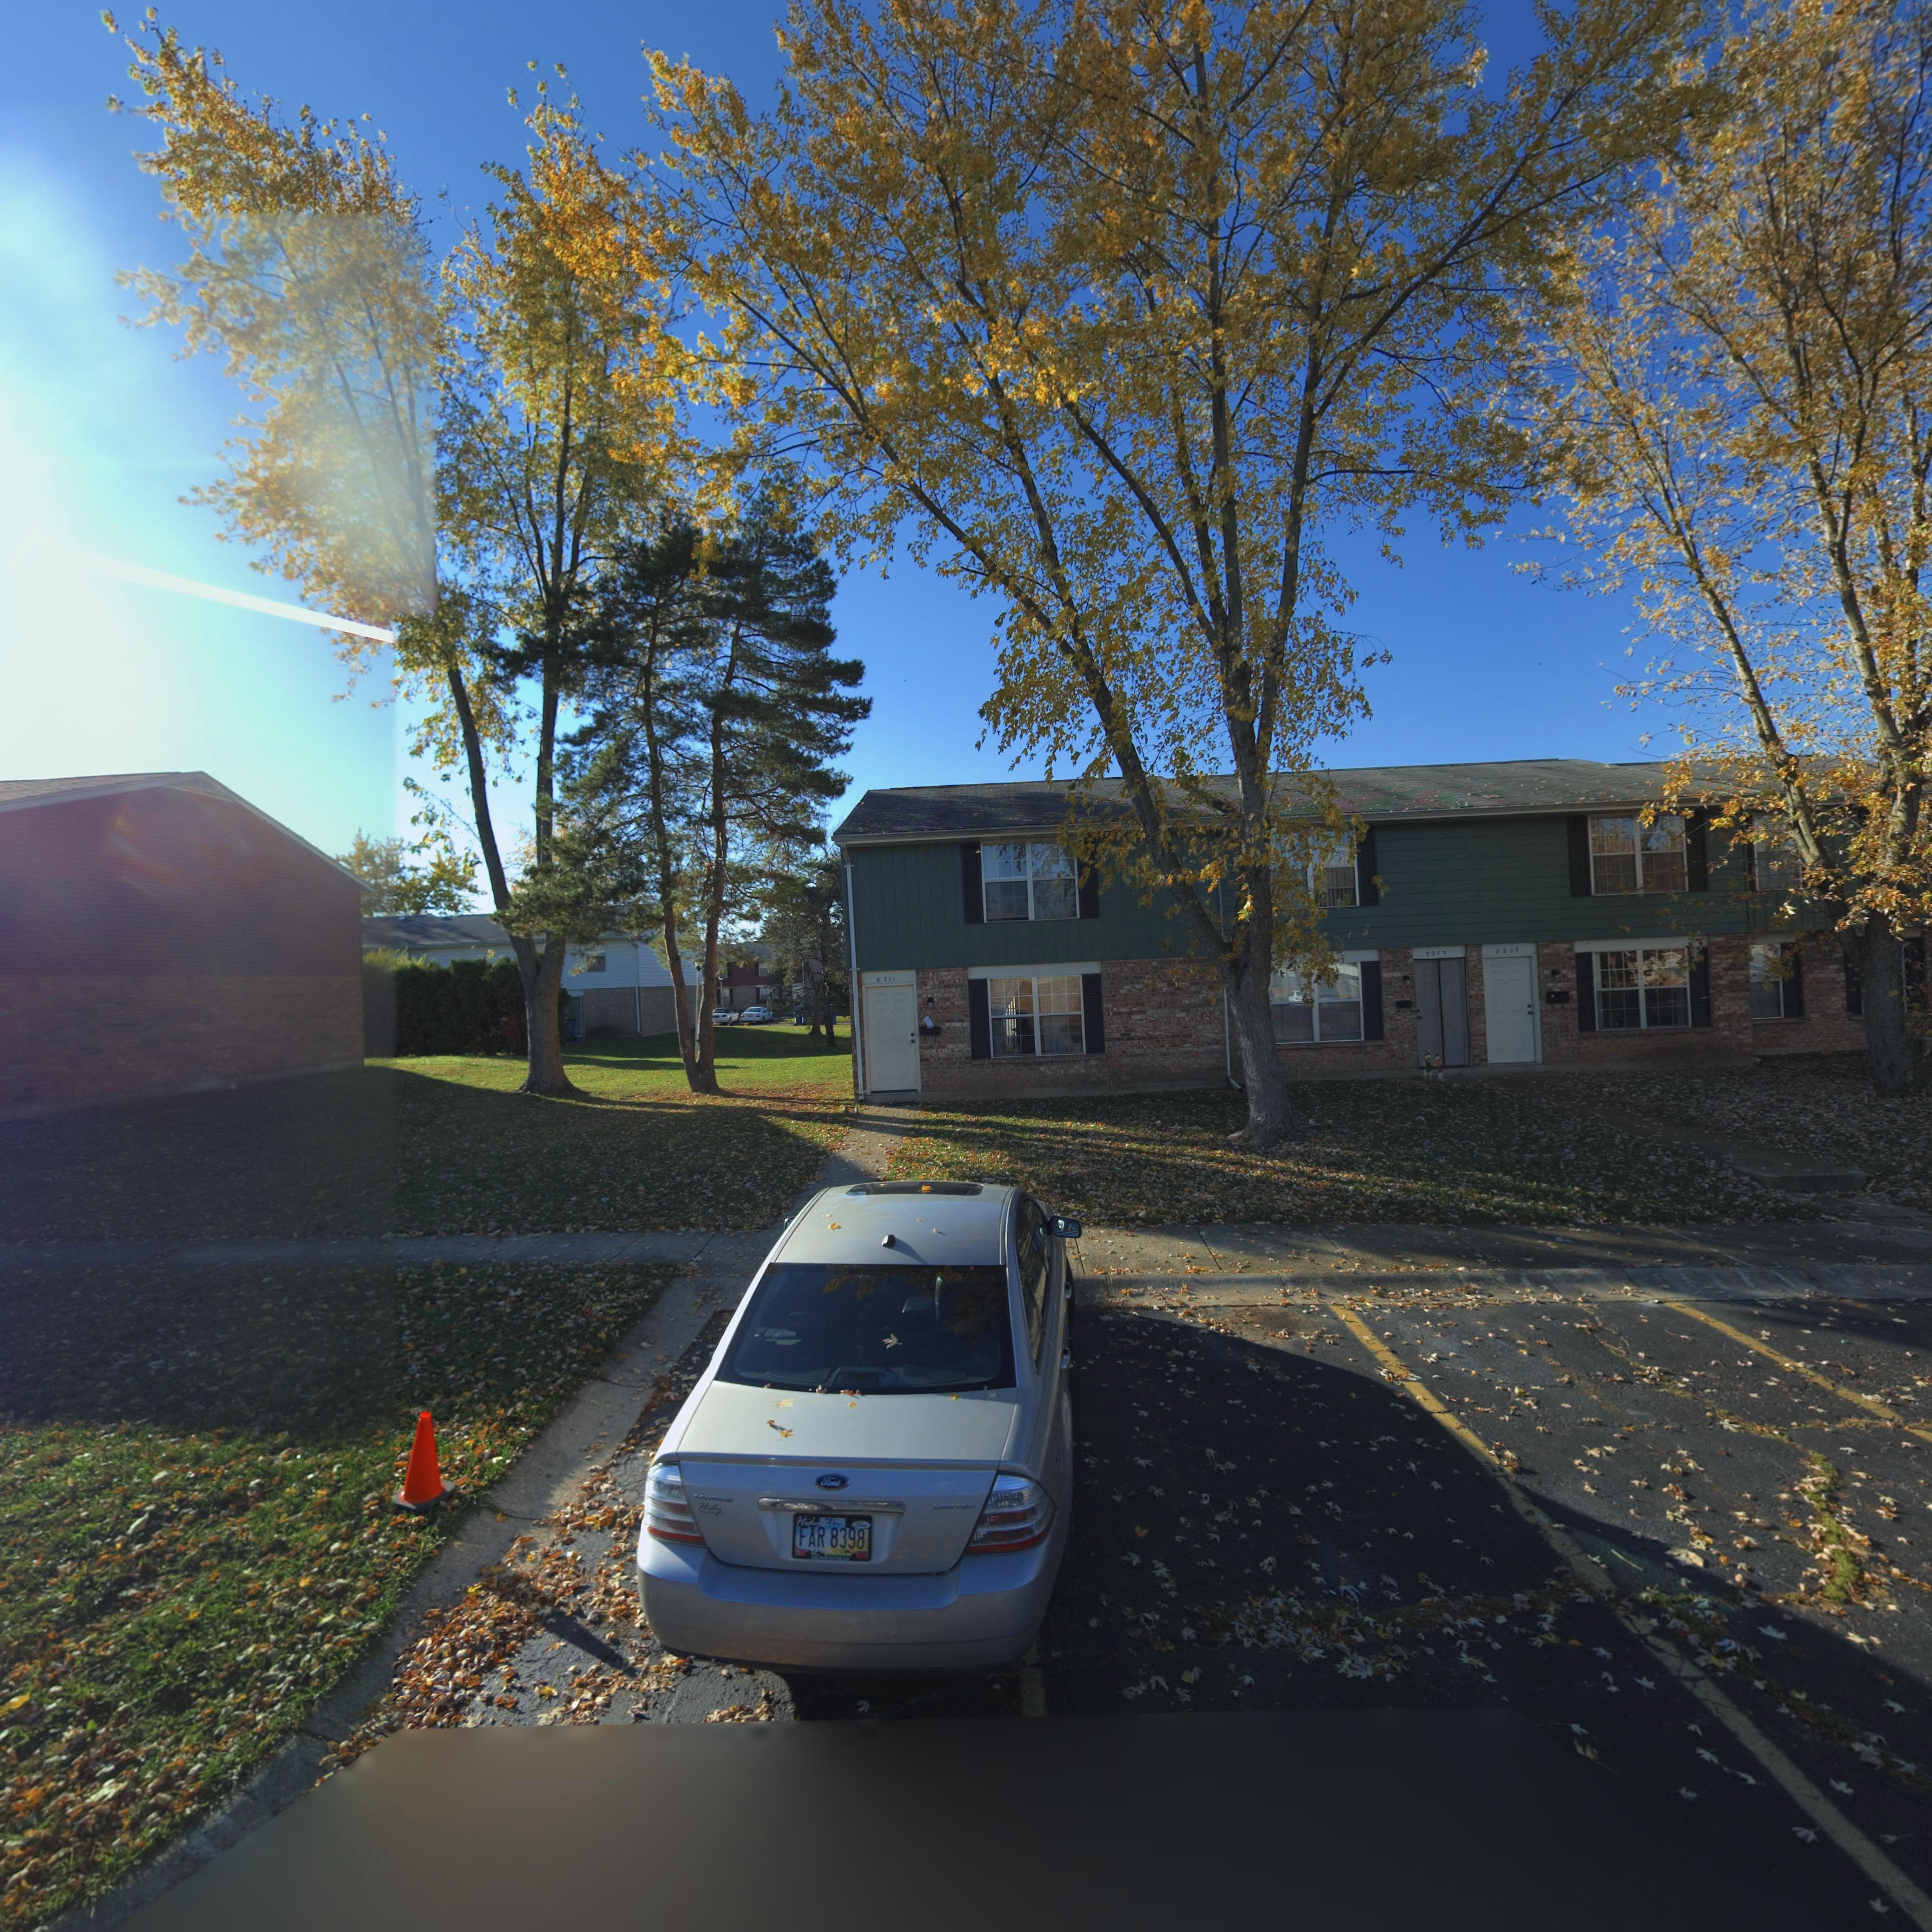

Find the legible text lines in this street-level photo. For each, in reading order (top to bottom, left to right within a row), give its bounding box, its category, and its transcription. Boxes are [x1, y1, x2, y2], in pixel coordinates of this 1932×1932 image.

[1425, 950, 1447, 957] StreetNumber: 8213
[1496, 947, 1518, 955] StreetNumber: 8245
[876, 976, 896, 983] StreetNumber: 8211